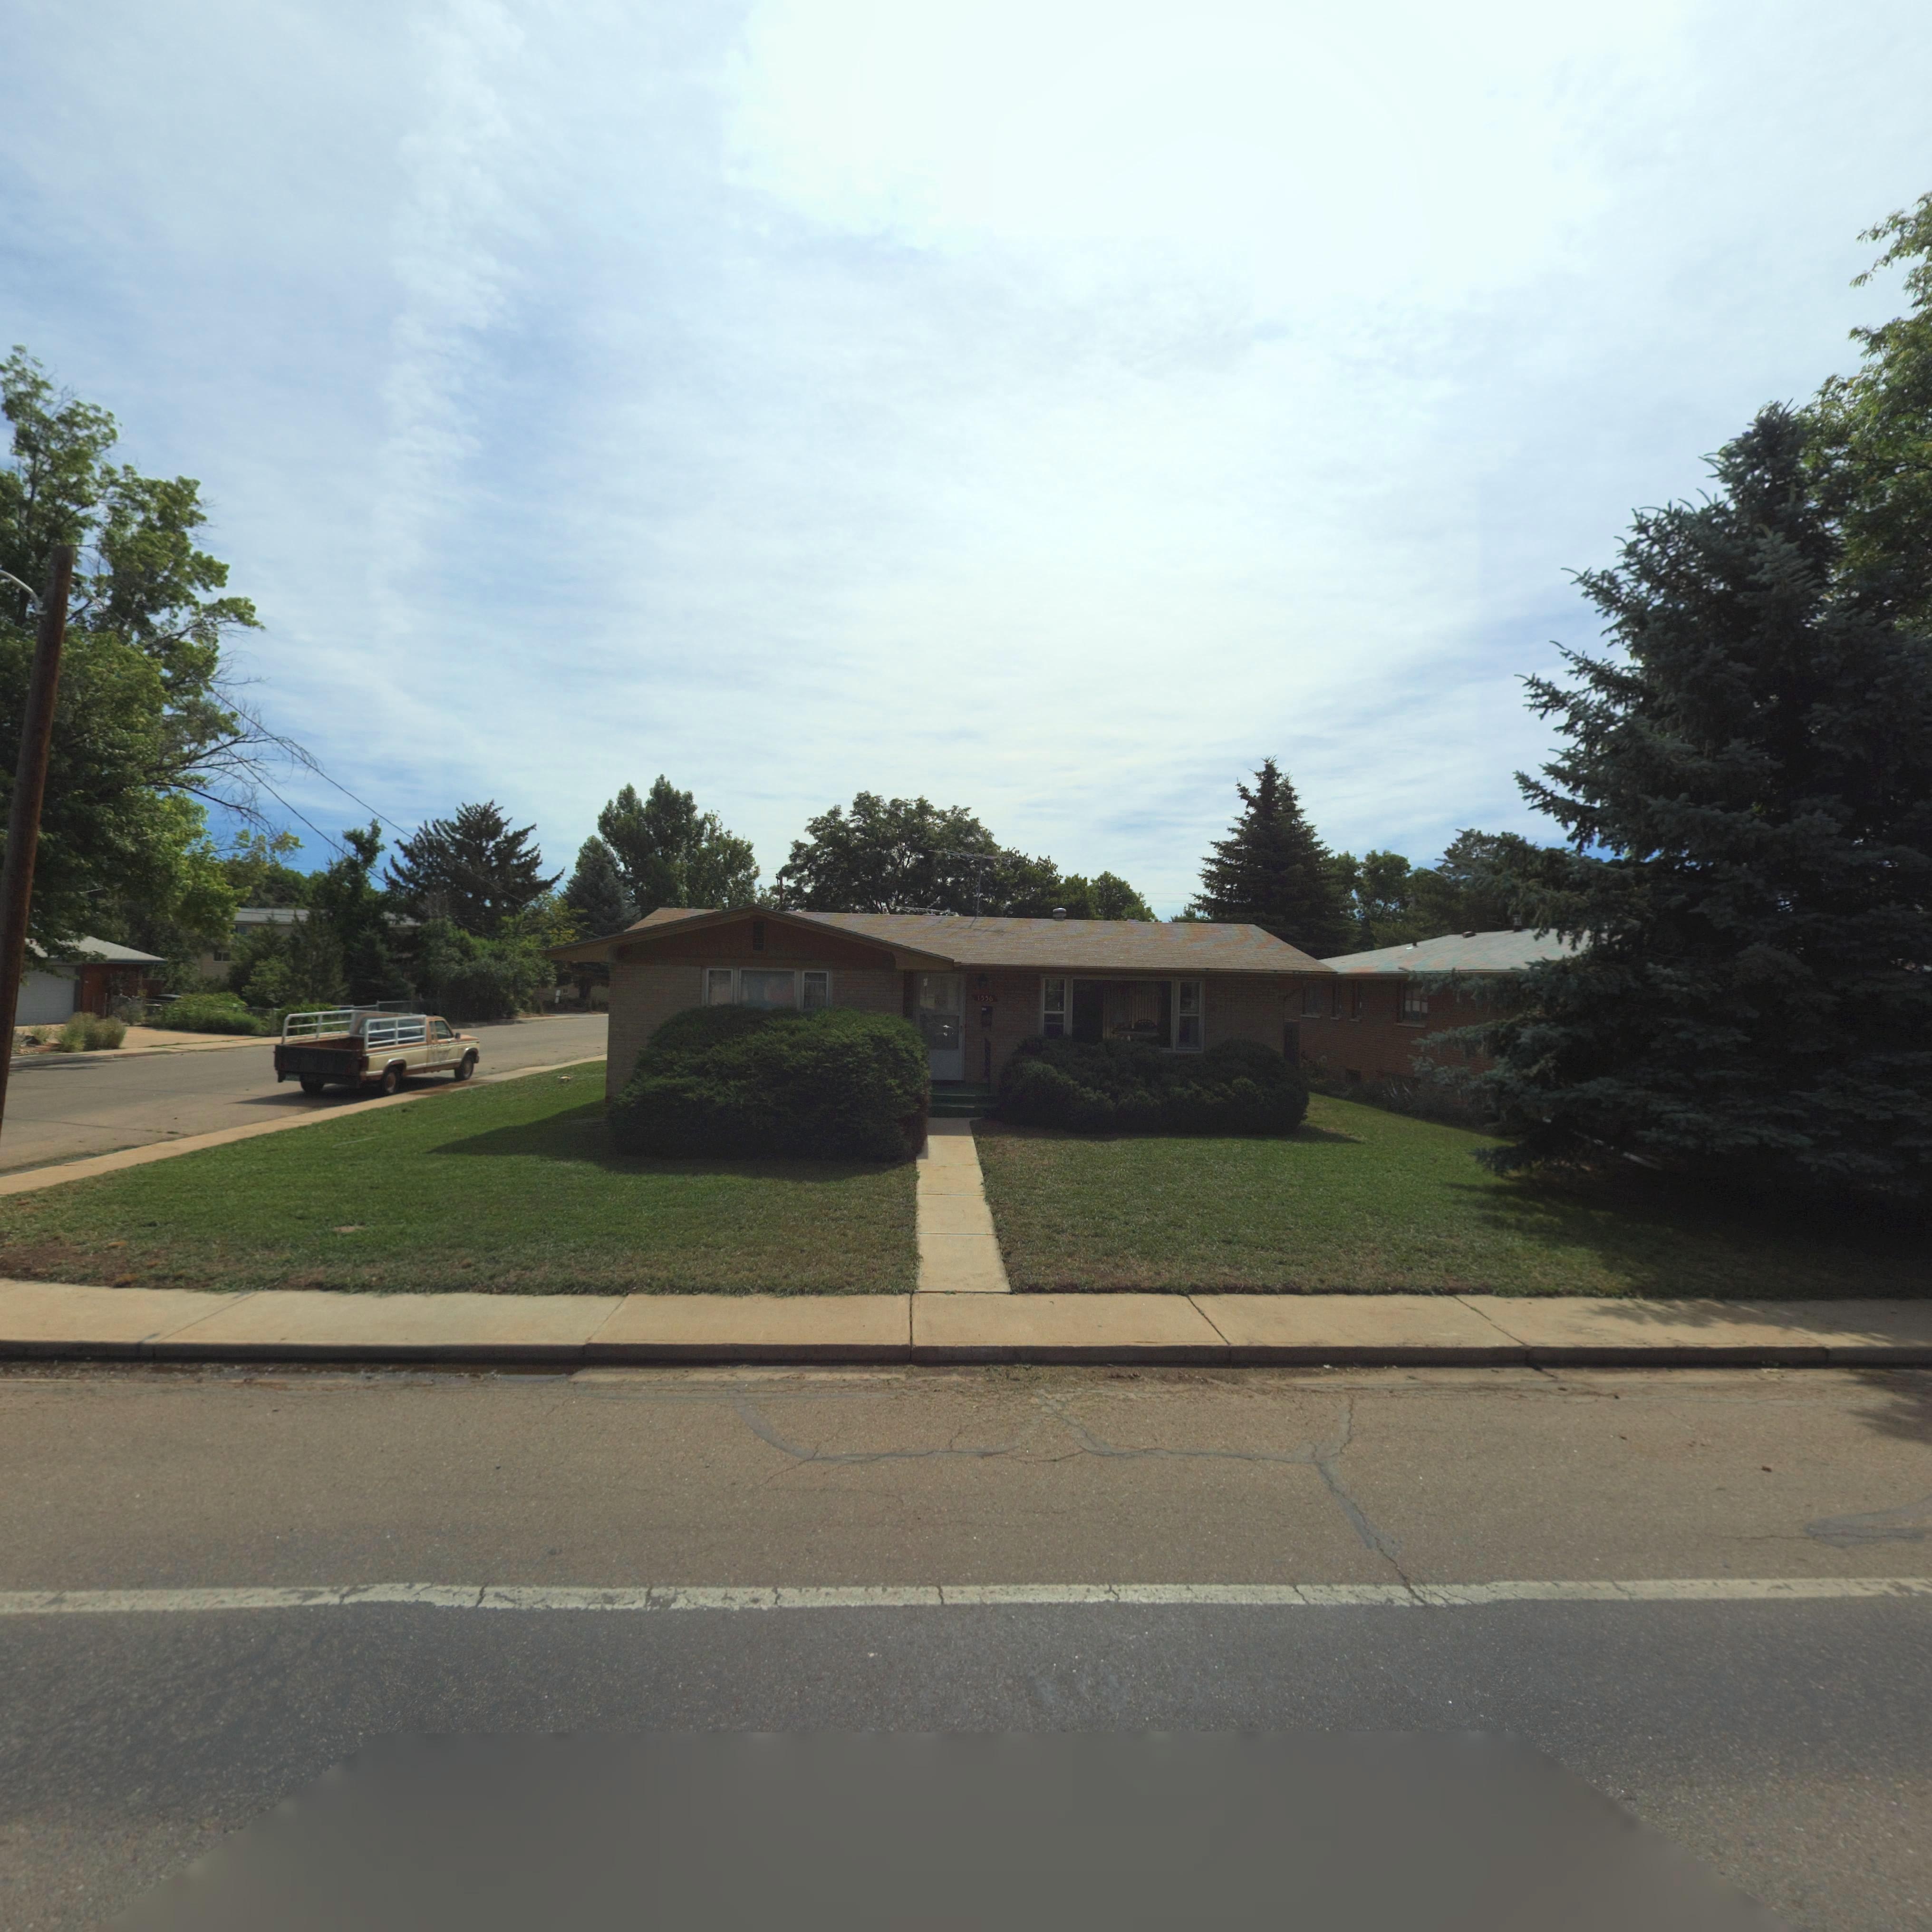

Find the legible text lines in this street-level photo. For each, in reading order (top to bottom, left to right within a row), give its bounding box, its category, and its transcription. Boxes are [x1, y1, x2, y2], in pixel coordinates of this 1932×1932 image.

[977, 995, 993, 1002] StreetNumber: 1556